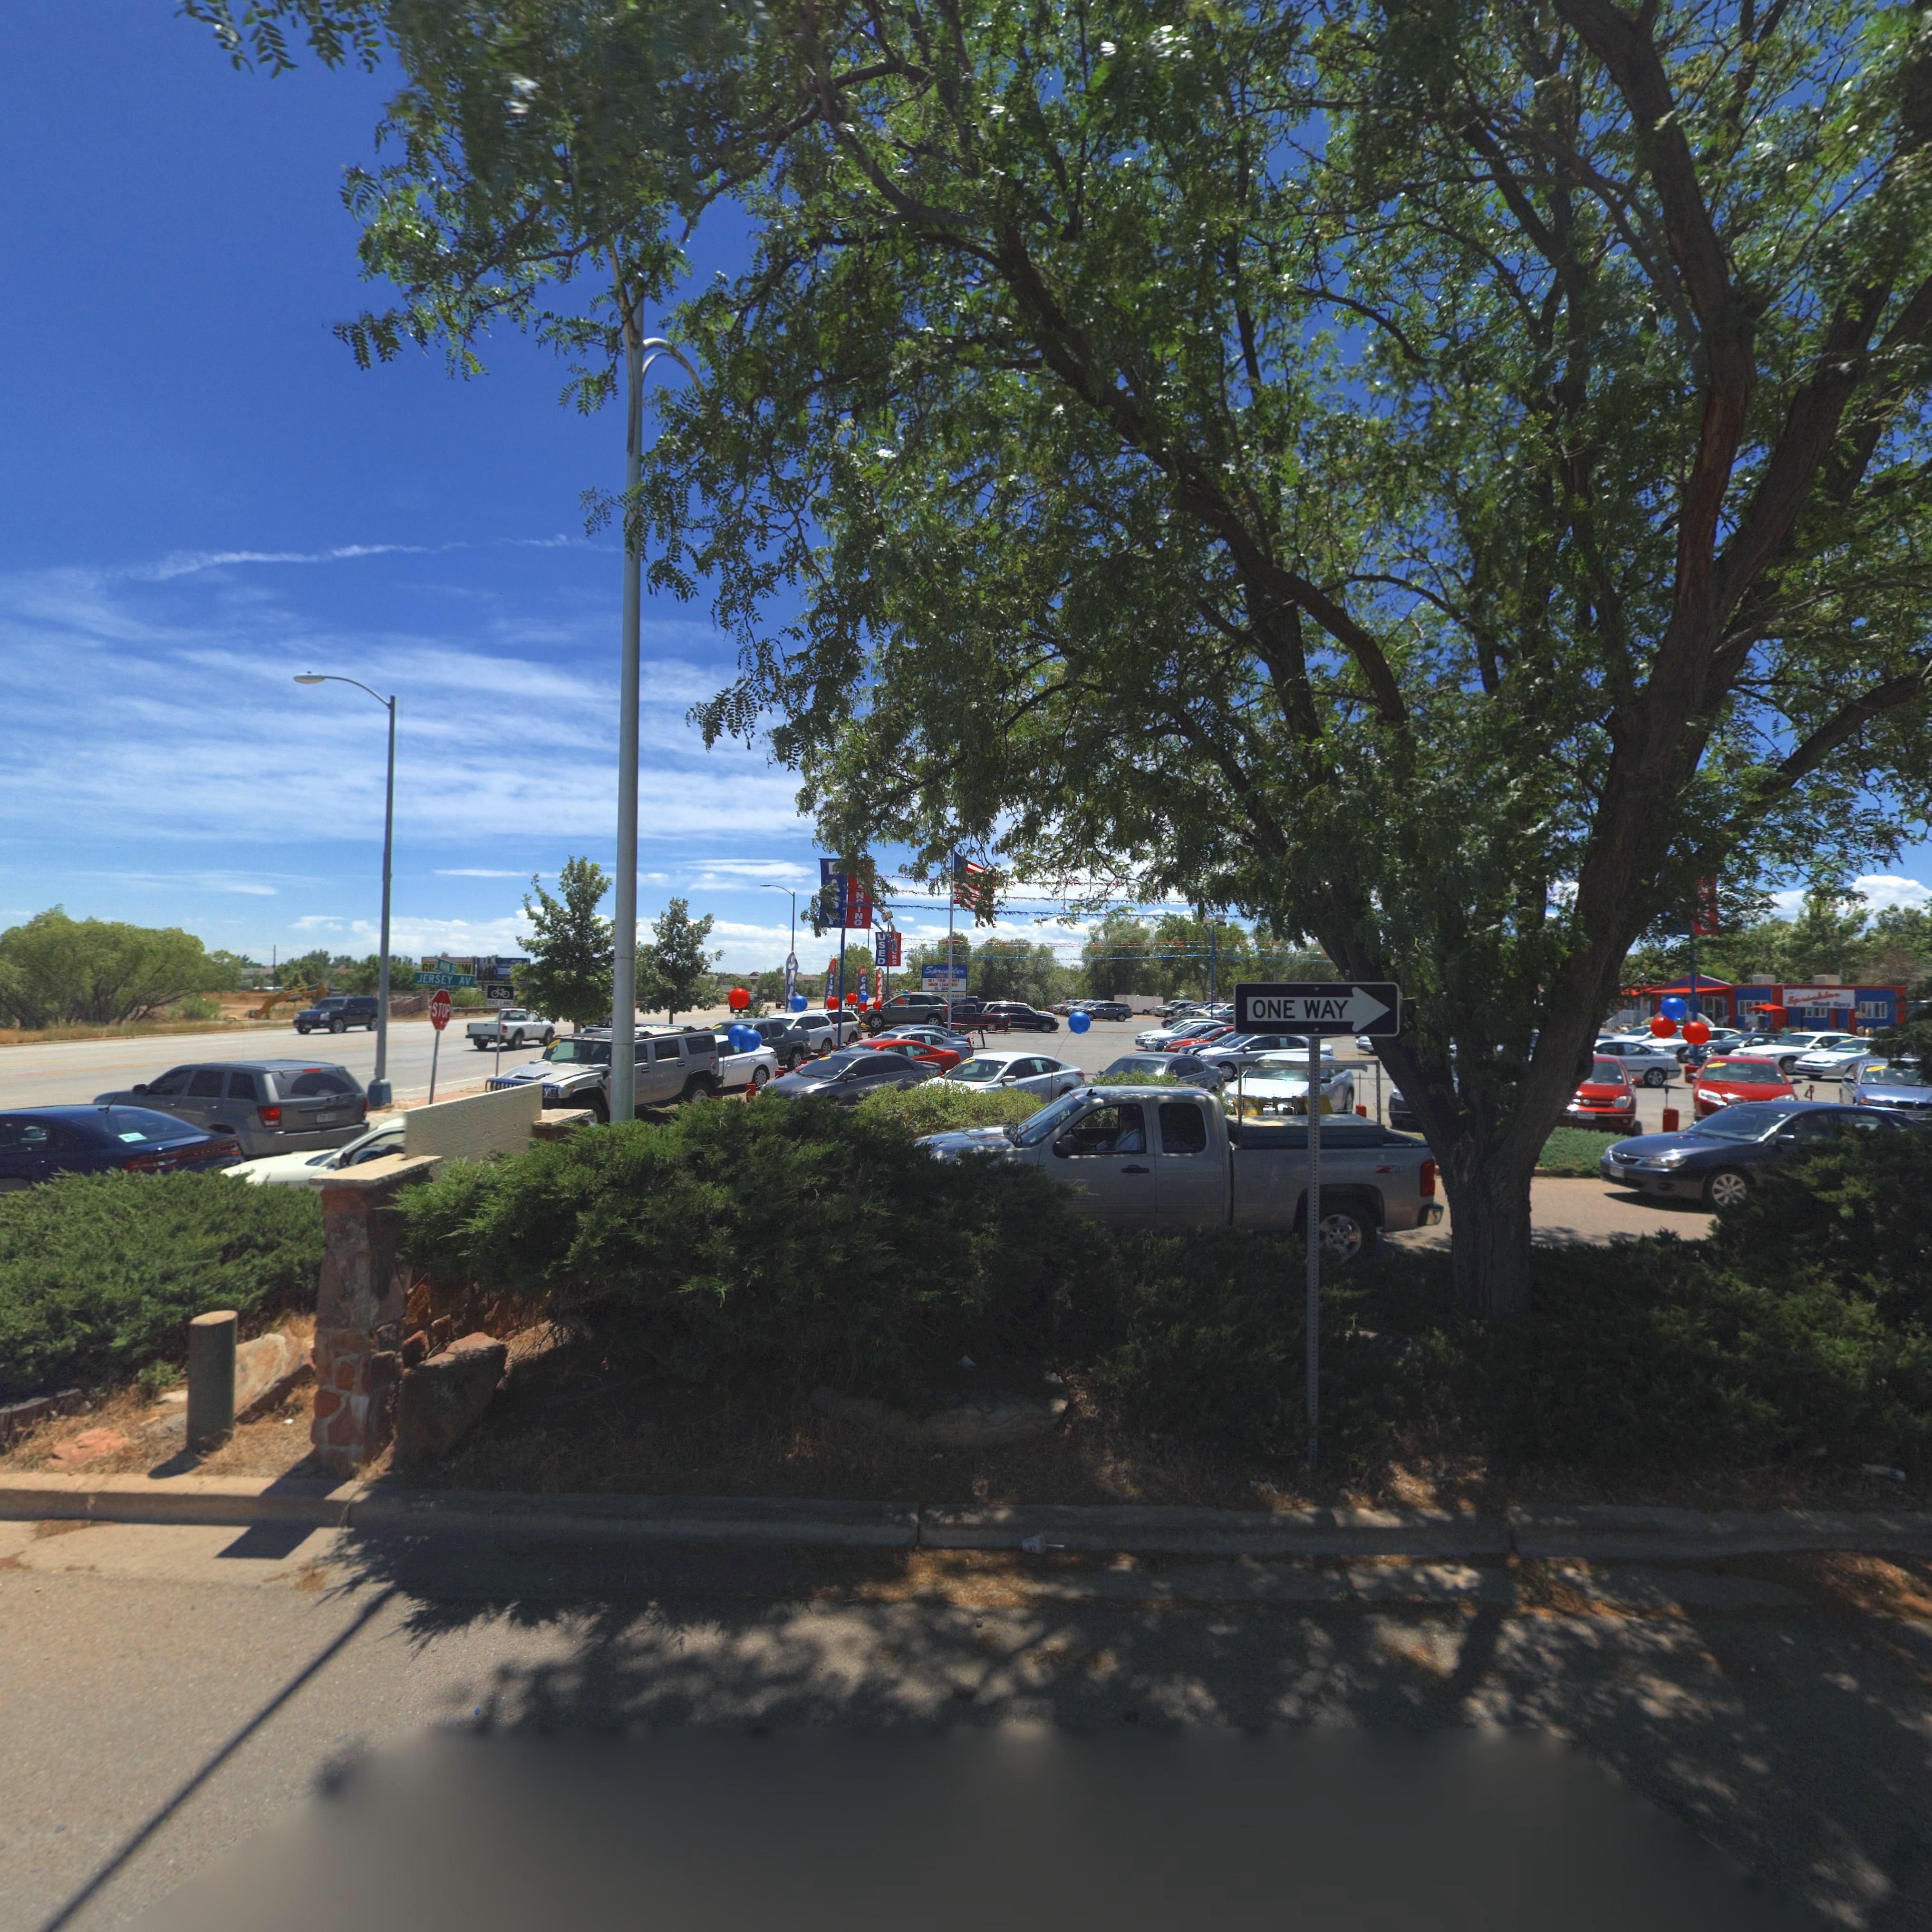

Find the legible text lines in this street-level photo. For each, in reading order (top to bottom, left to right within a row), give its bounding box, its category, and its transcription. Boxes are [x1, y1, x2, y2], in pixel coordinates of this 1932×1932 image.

[924, 966, 965, 976] BusinessName: Sprin*ler
[415, 973, 473, 985] StreetName: JERSEY AV
[1787, 990, 1841, 1006] BusinessName: Sp****kl*r